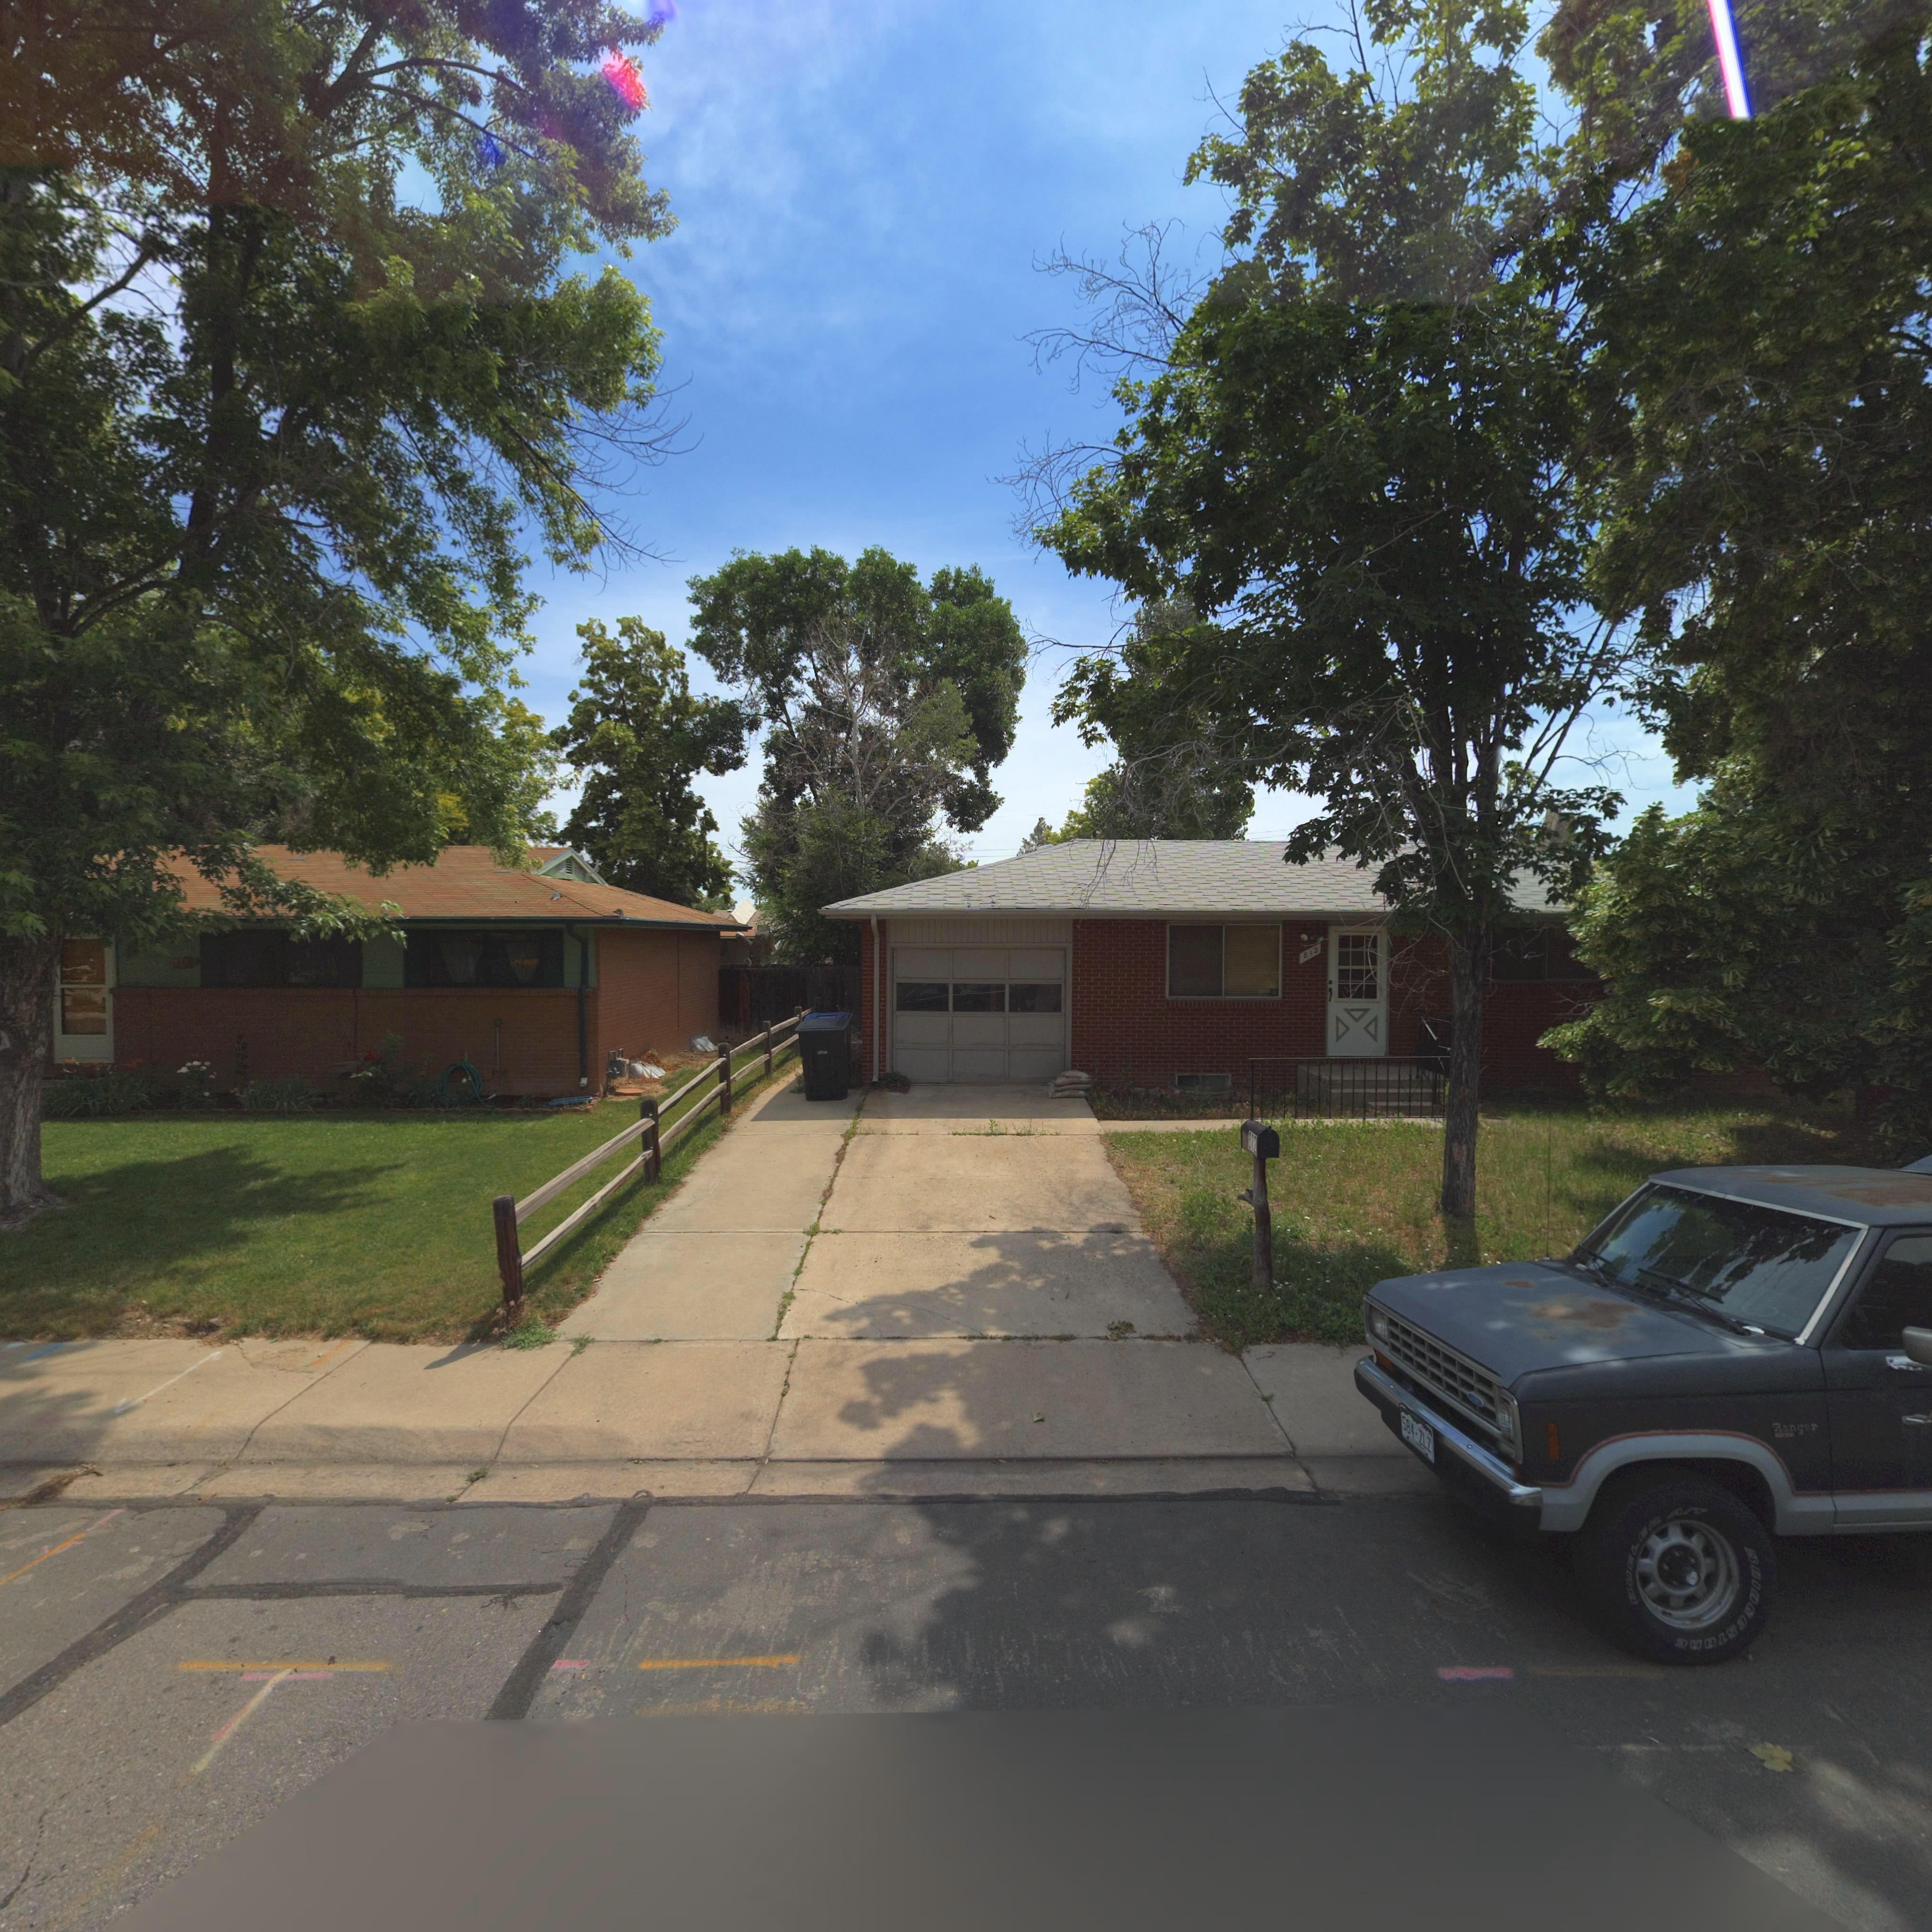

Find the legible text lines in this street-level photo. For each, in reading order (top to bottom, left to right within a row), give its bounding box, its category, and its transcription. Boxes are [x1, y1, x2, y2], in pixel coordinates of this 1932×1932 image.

[1303, 946, 1318, 958] StreetNumber: 812
[1247, 1130, 1256, 1154] StreetNumber: 812